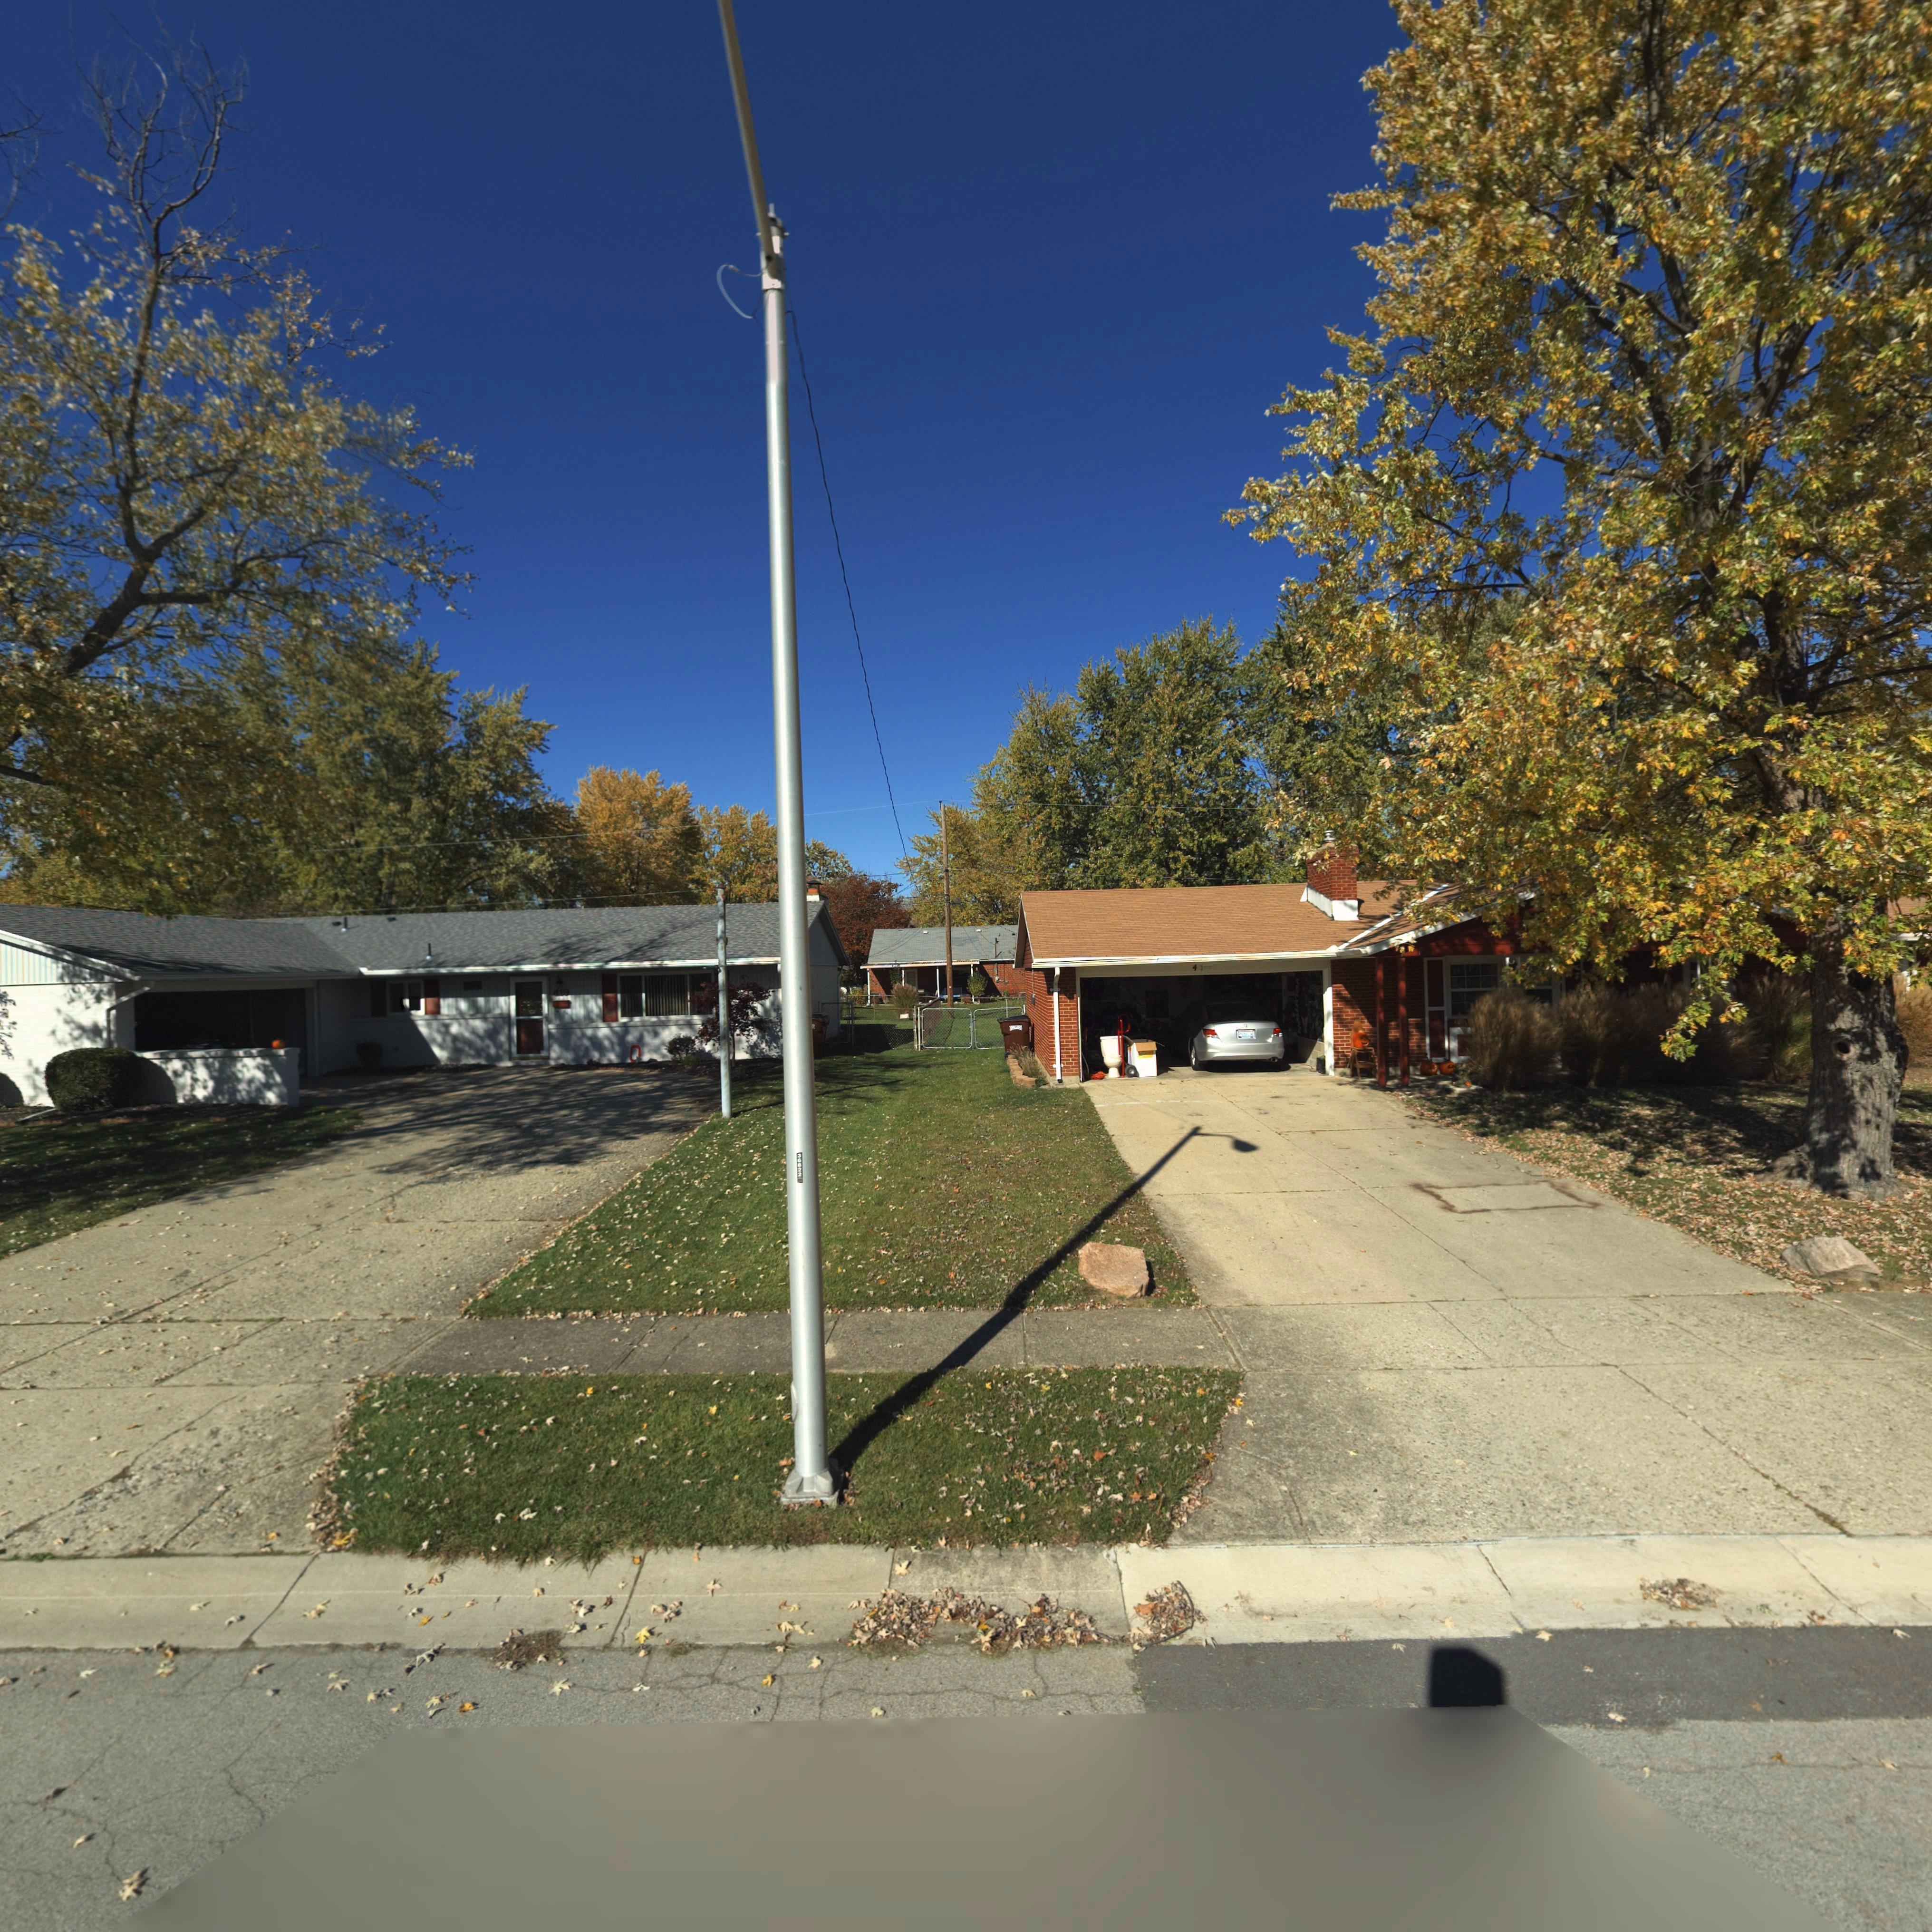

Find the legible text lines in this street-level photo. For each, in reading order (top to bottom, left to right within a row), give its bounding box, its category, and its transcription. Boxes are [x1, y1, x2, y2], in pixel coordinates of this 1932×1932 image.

[1191, 962, 1198, 972] StreetNumber: 4
[552, 987, 571, 997] StreetNumber: 419